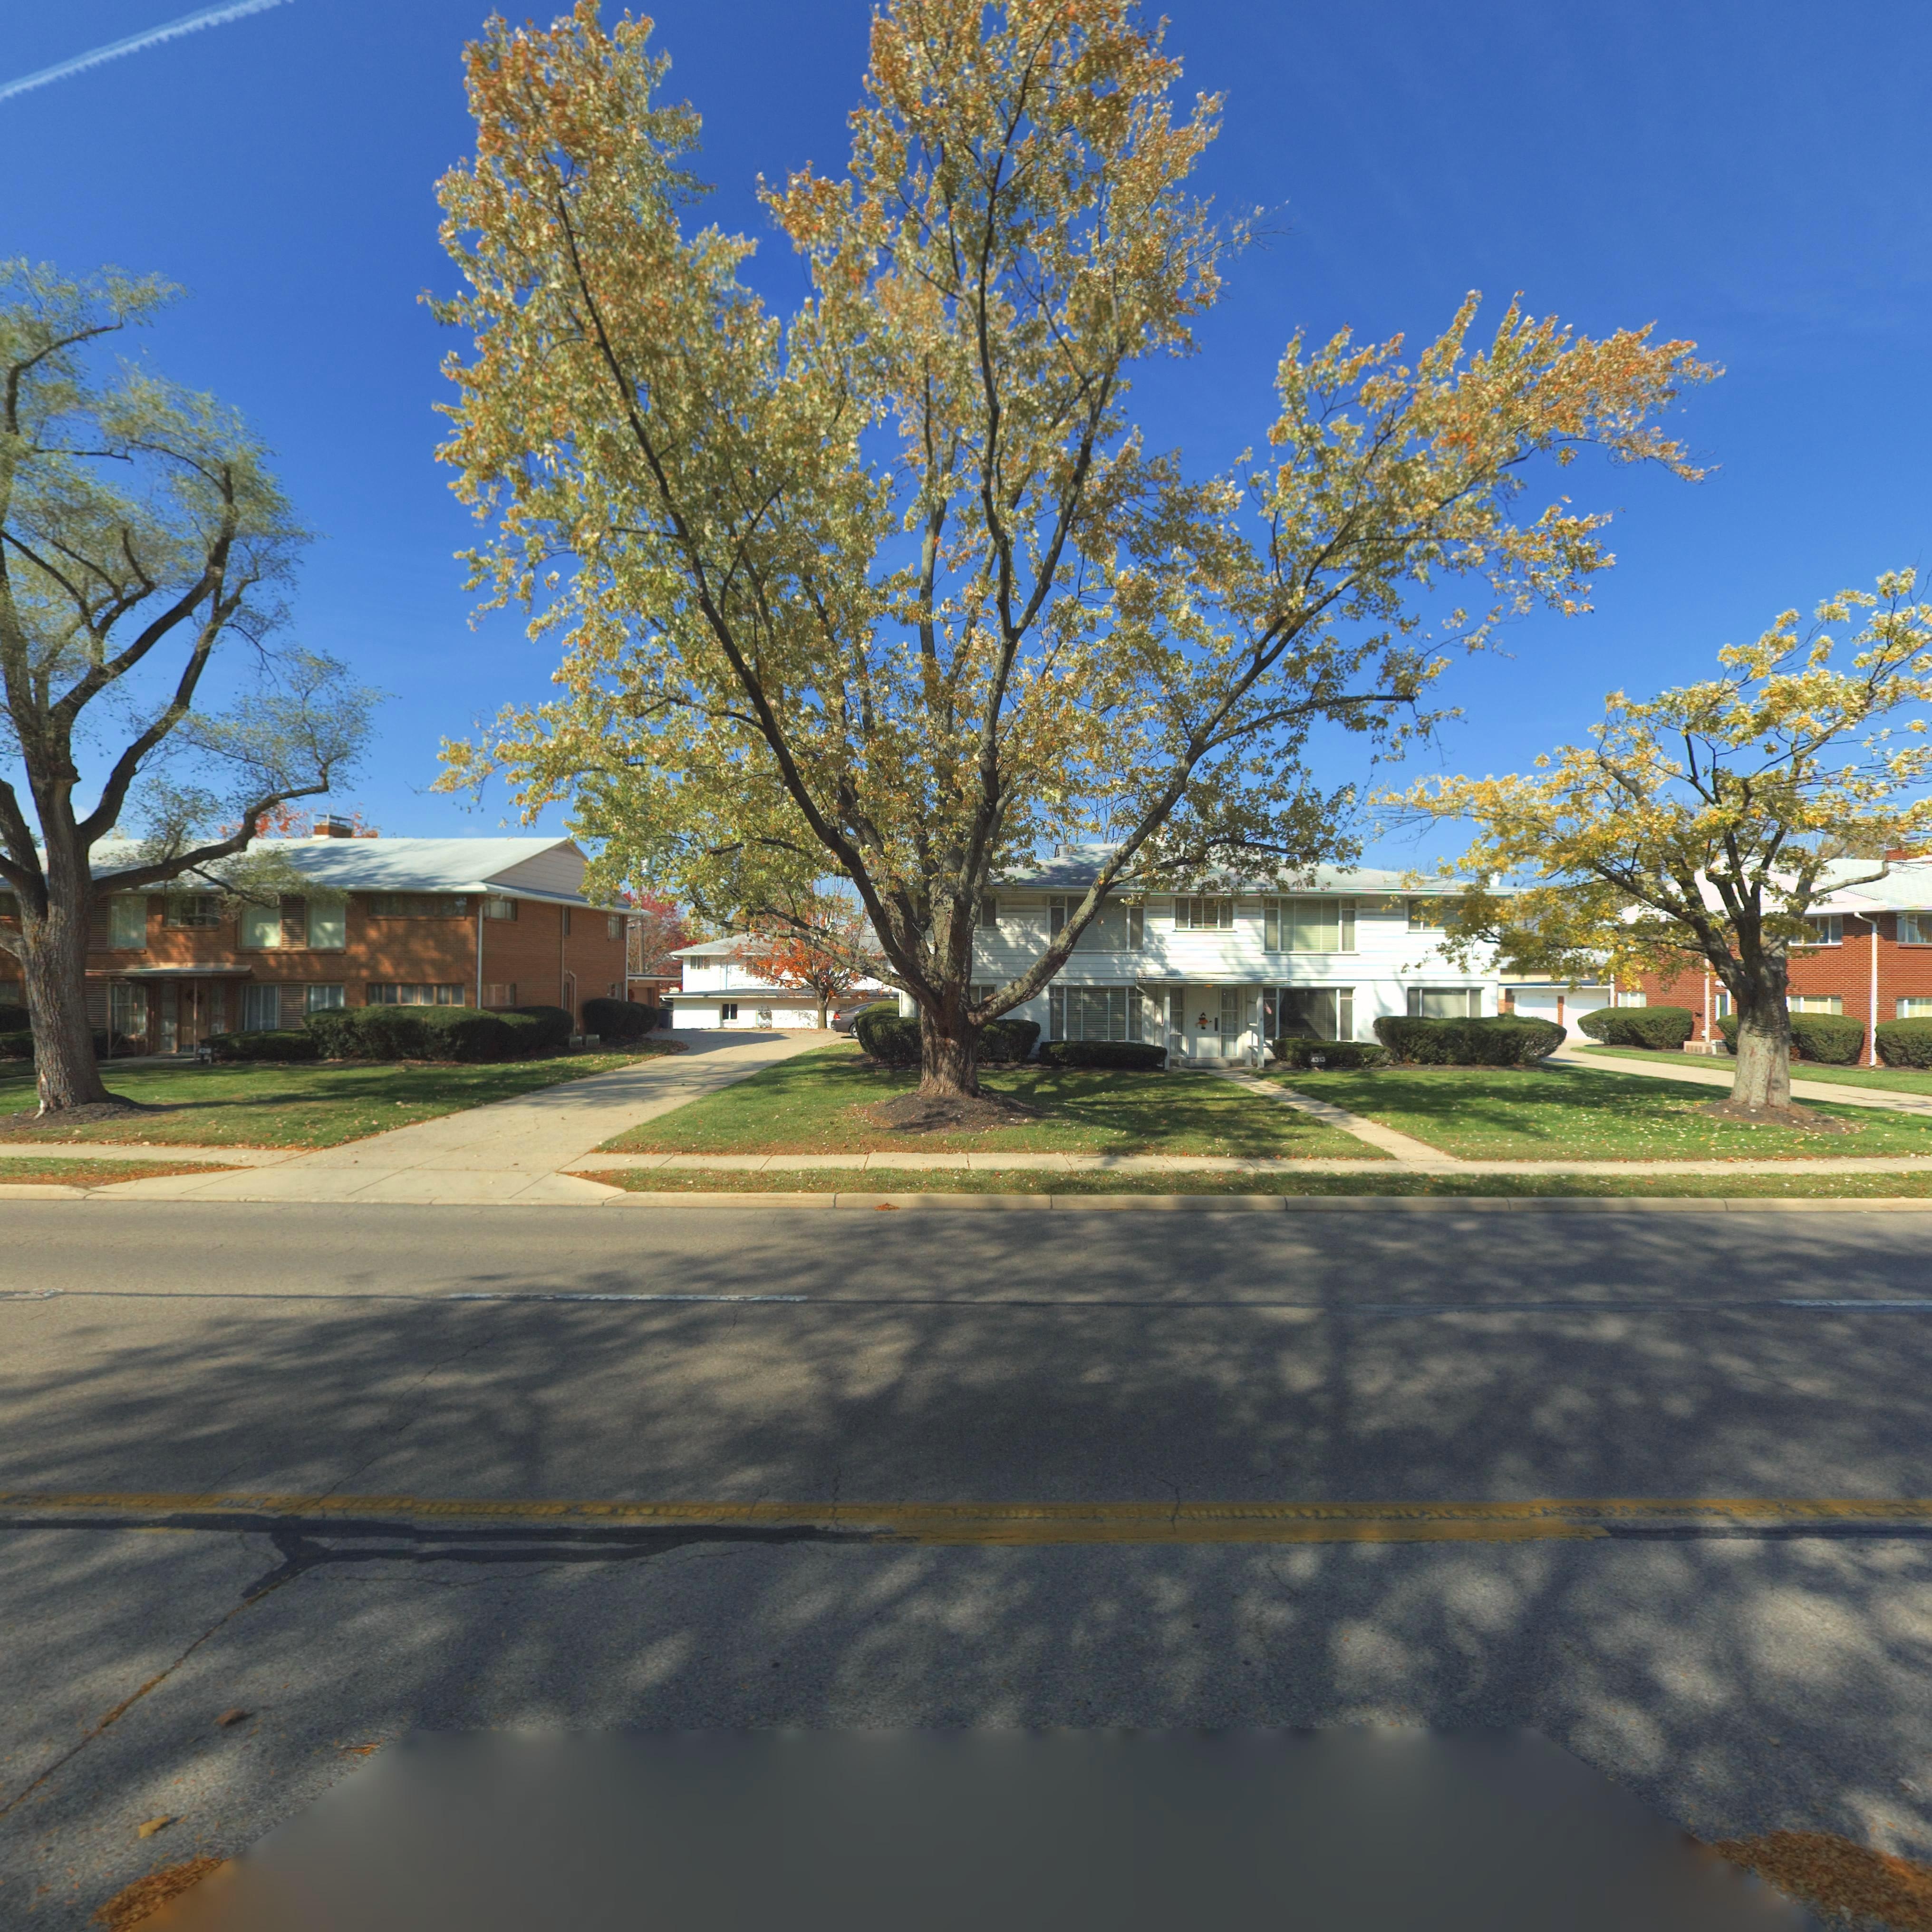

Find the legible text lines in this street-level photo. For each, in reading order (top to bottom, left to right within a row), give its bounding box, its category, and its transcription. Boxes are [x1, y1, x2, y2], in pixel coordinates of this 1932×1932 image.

[1309, 1055, 1327, 1064] StreetNumber: 4313